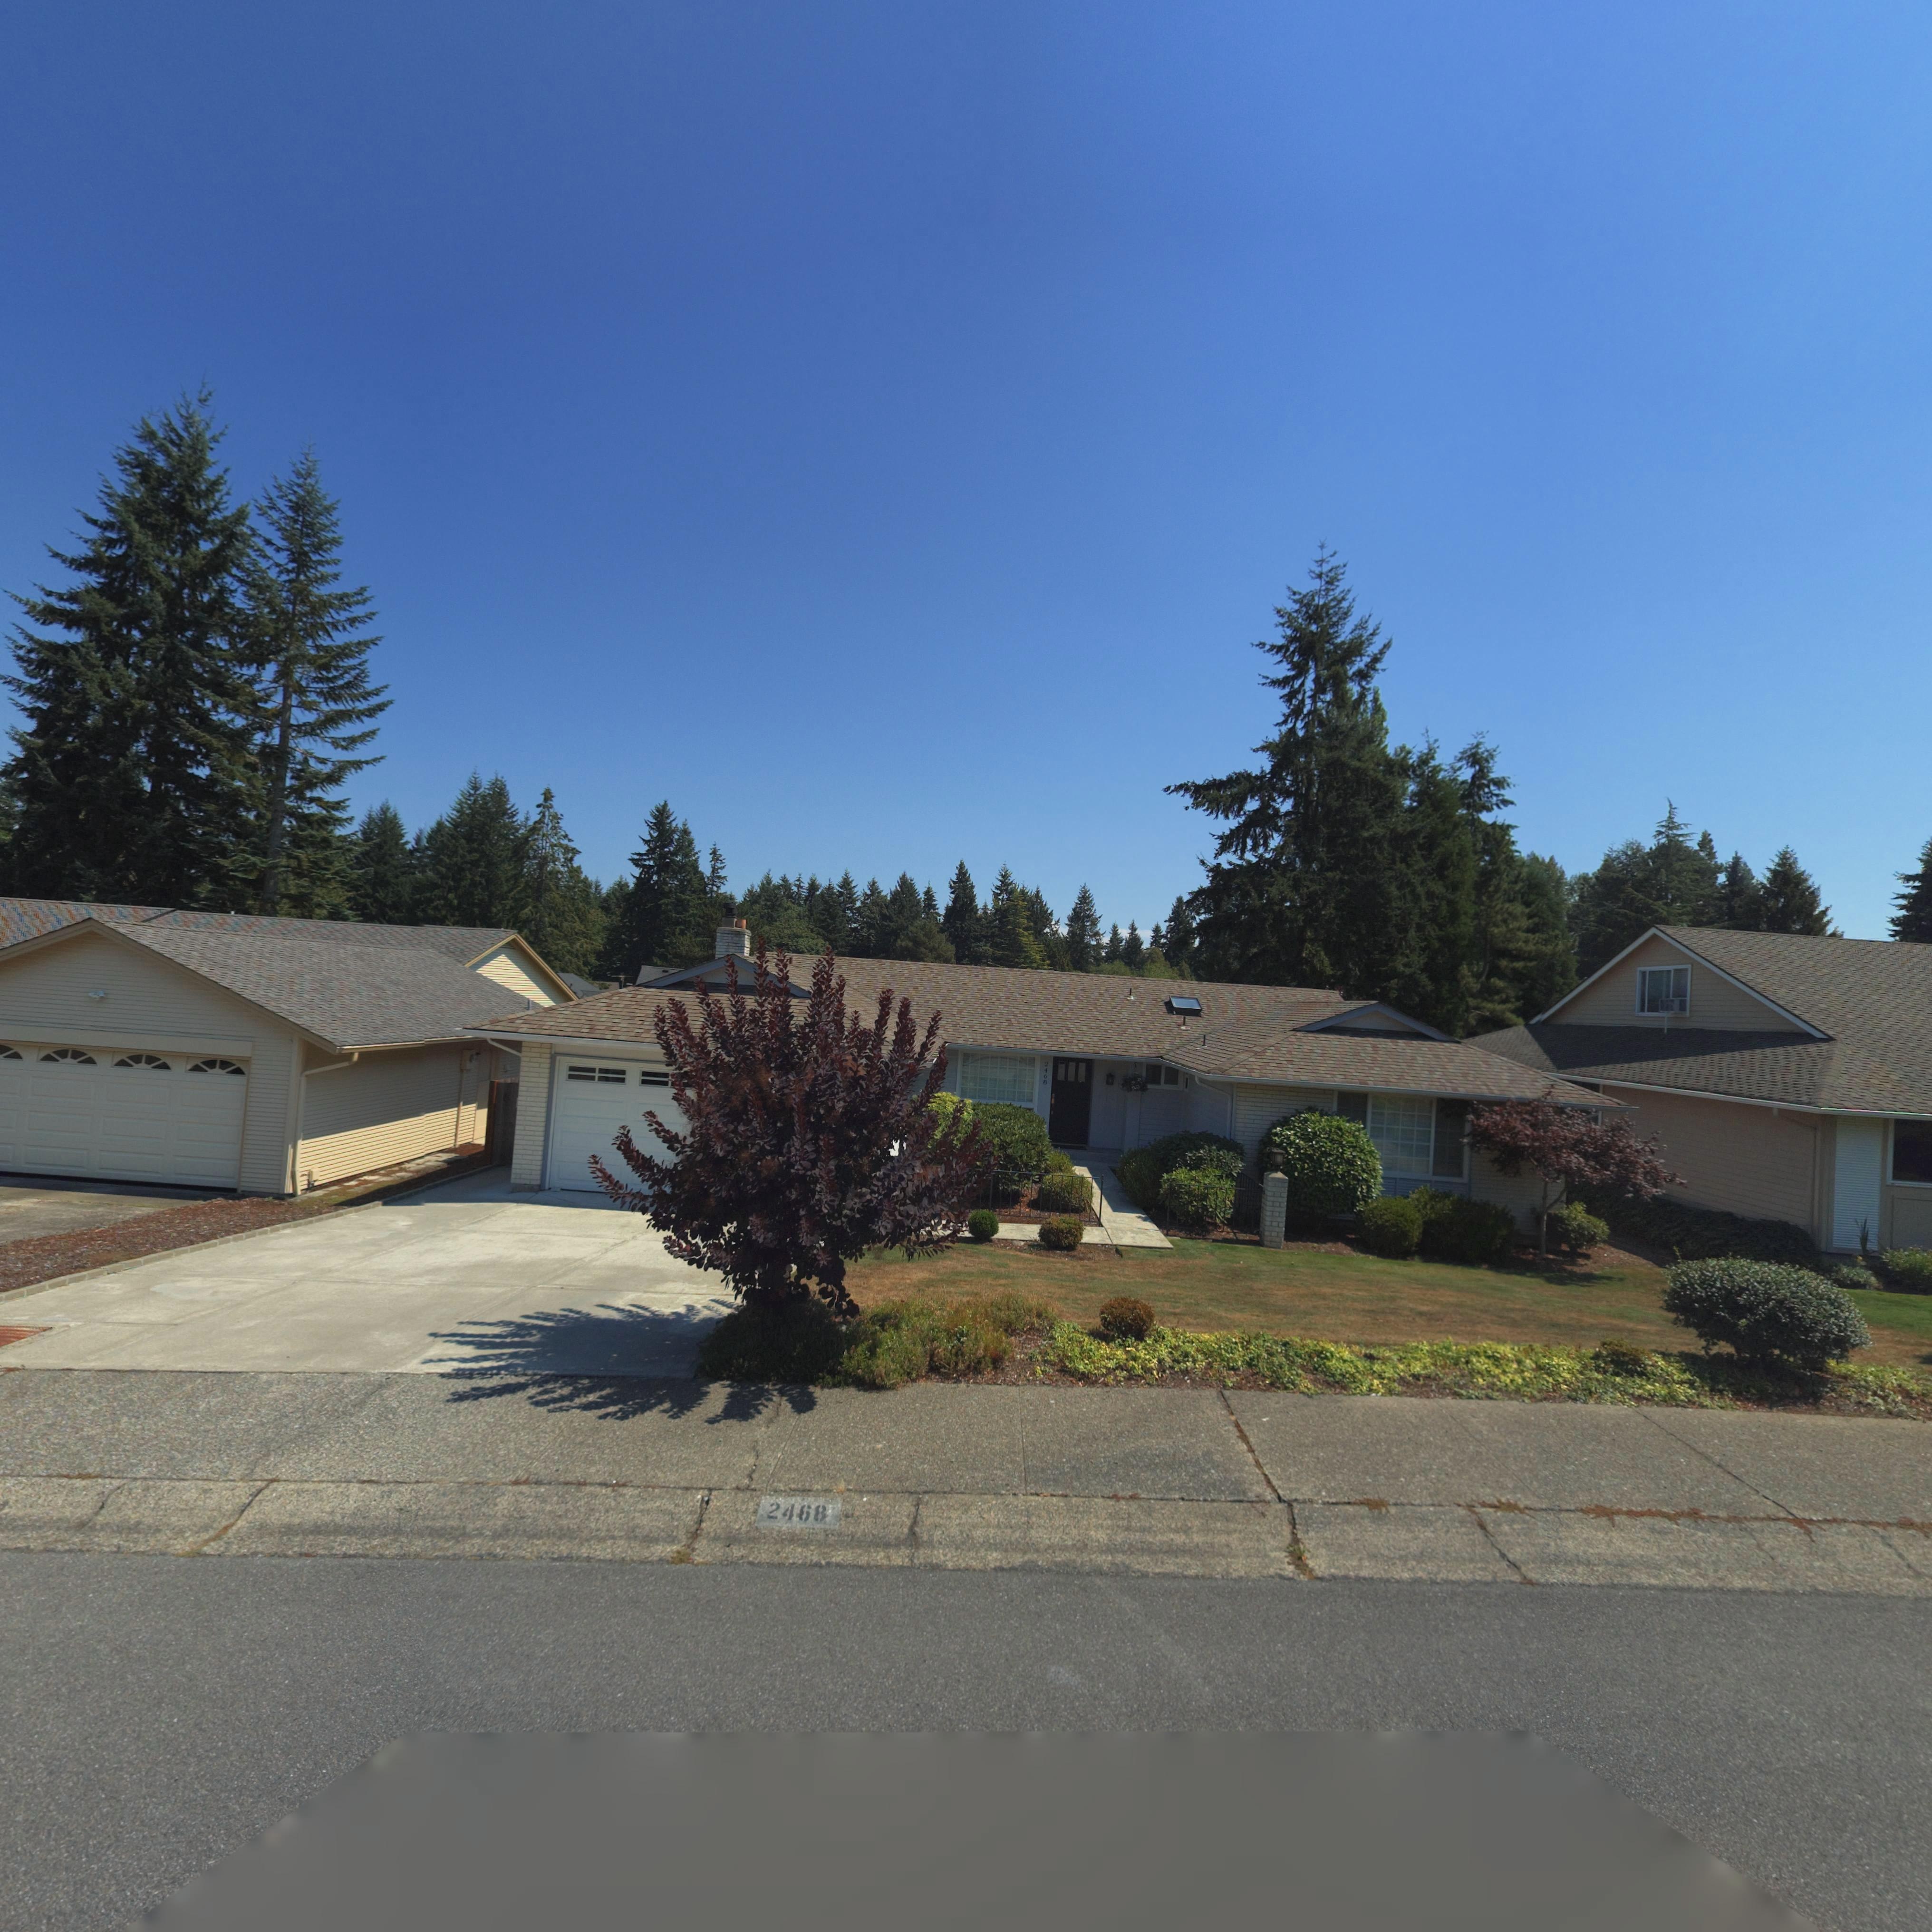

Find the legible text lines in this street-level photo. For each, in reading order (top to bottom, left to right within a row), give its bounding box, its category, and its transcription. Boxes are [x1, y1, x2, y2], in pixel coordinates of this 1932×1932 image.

[1043, 1062, 1048, 1085] StreetNumber: 2468
[766, 1503, 826, 1522] StreetNumber: 2468